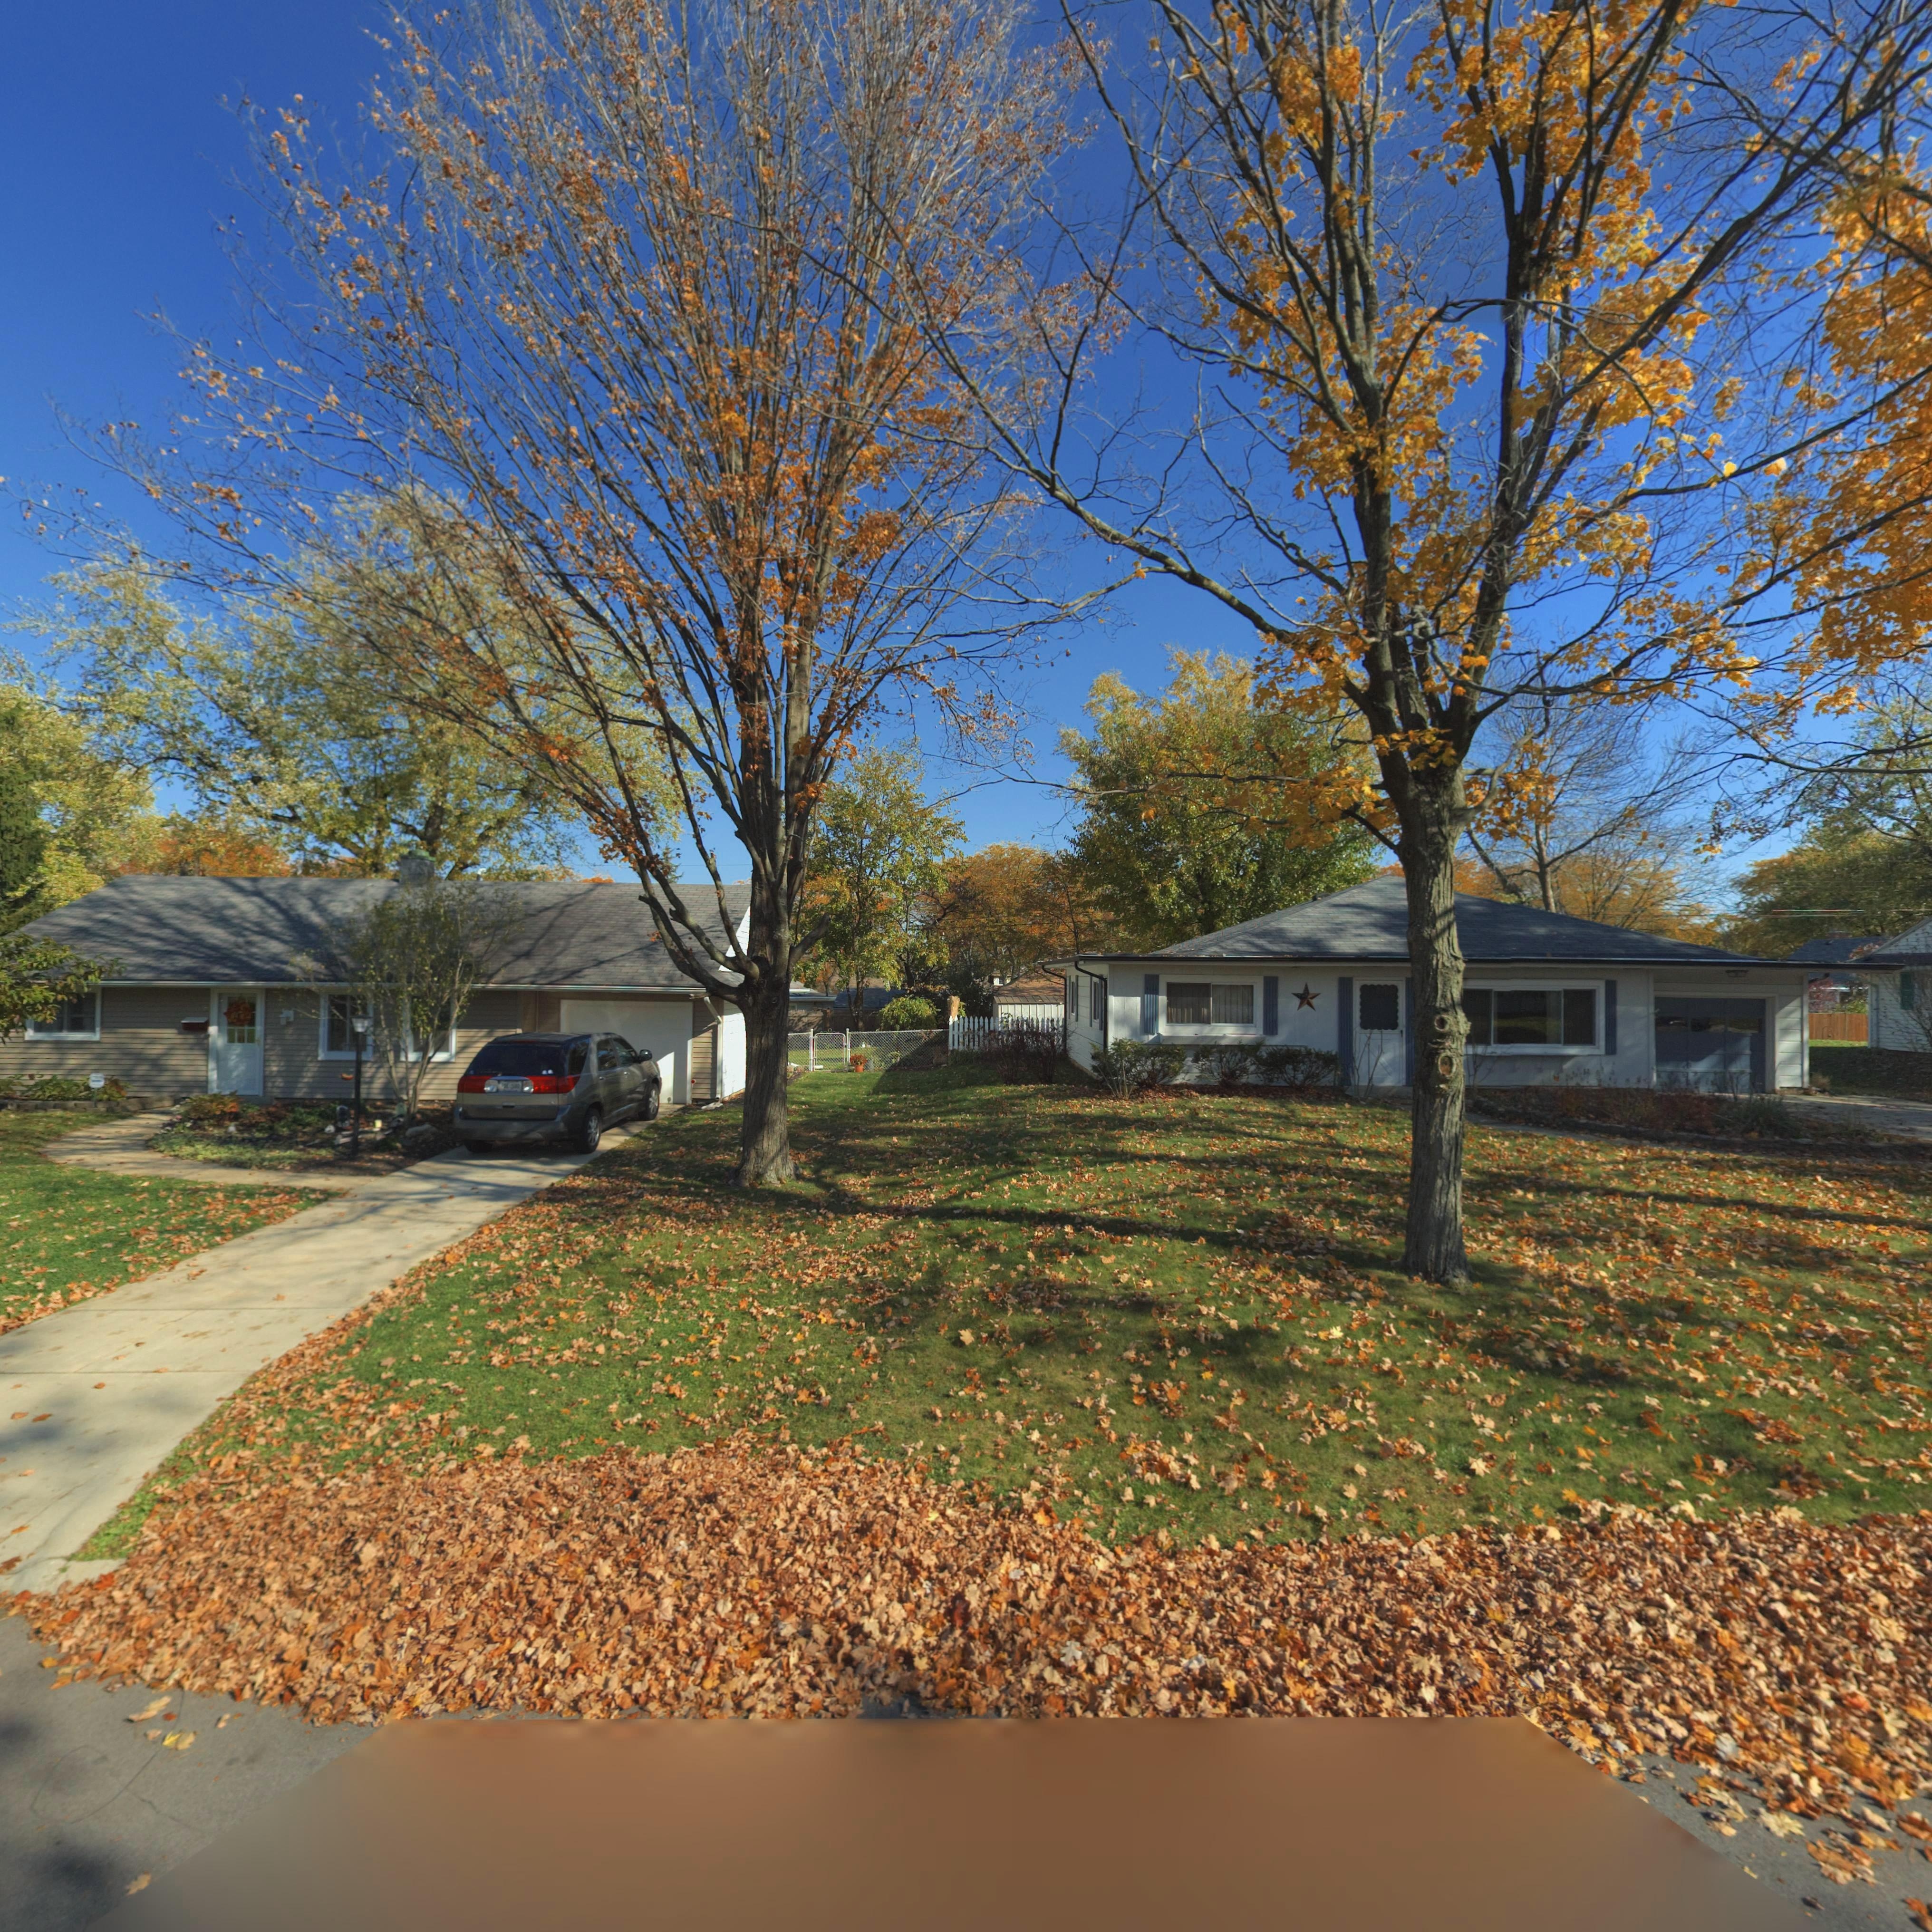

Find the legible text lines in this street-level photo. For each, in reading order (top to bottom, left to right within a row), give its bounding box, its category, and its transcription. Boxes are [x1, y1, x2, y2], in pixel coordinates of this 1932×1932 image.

[501, 1082, 521, 1089] None: PDE*500